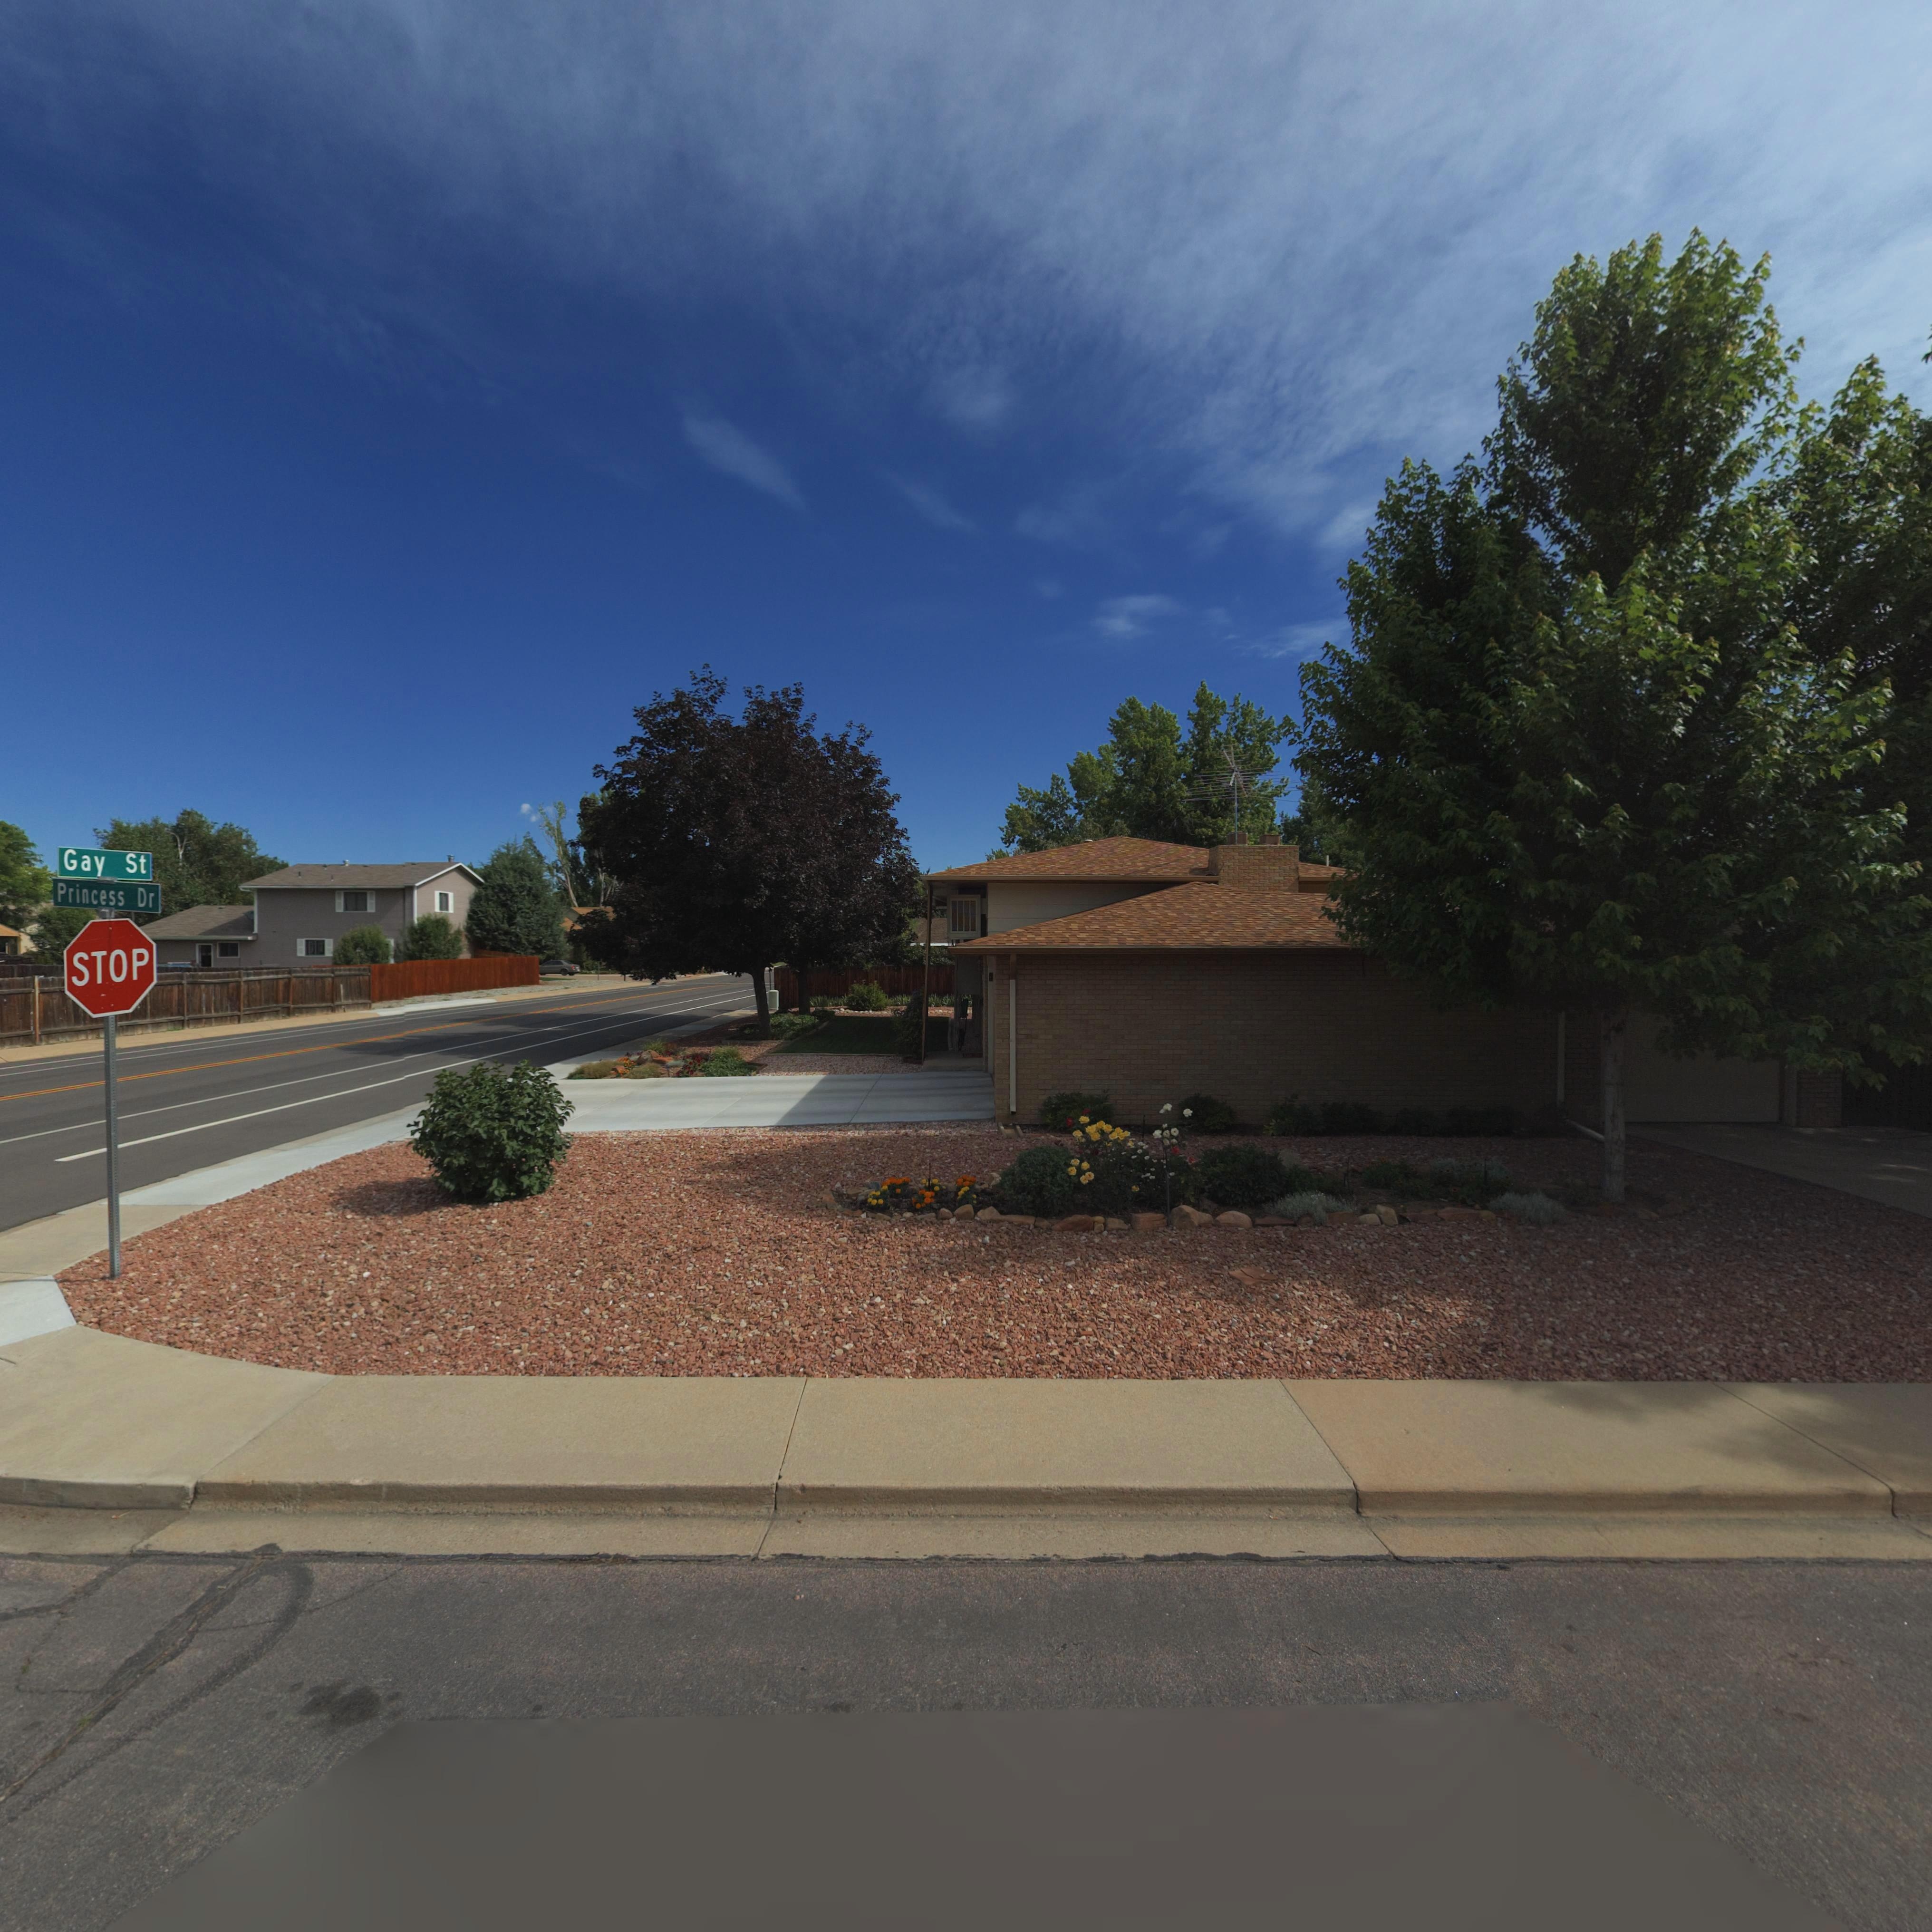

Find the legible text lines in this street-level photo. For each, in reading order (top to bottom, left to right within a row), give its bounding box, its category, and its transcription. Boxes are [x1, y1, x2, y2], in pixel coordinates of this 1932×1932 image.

[62, 848, 147, 877] BusinessName: Gay St
[57, 882, 155, 908] StreetName: Princess Dr